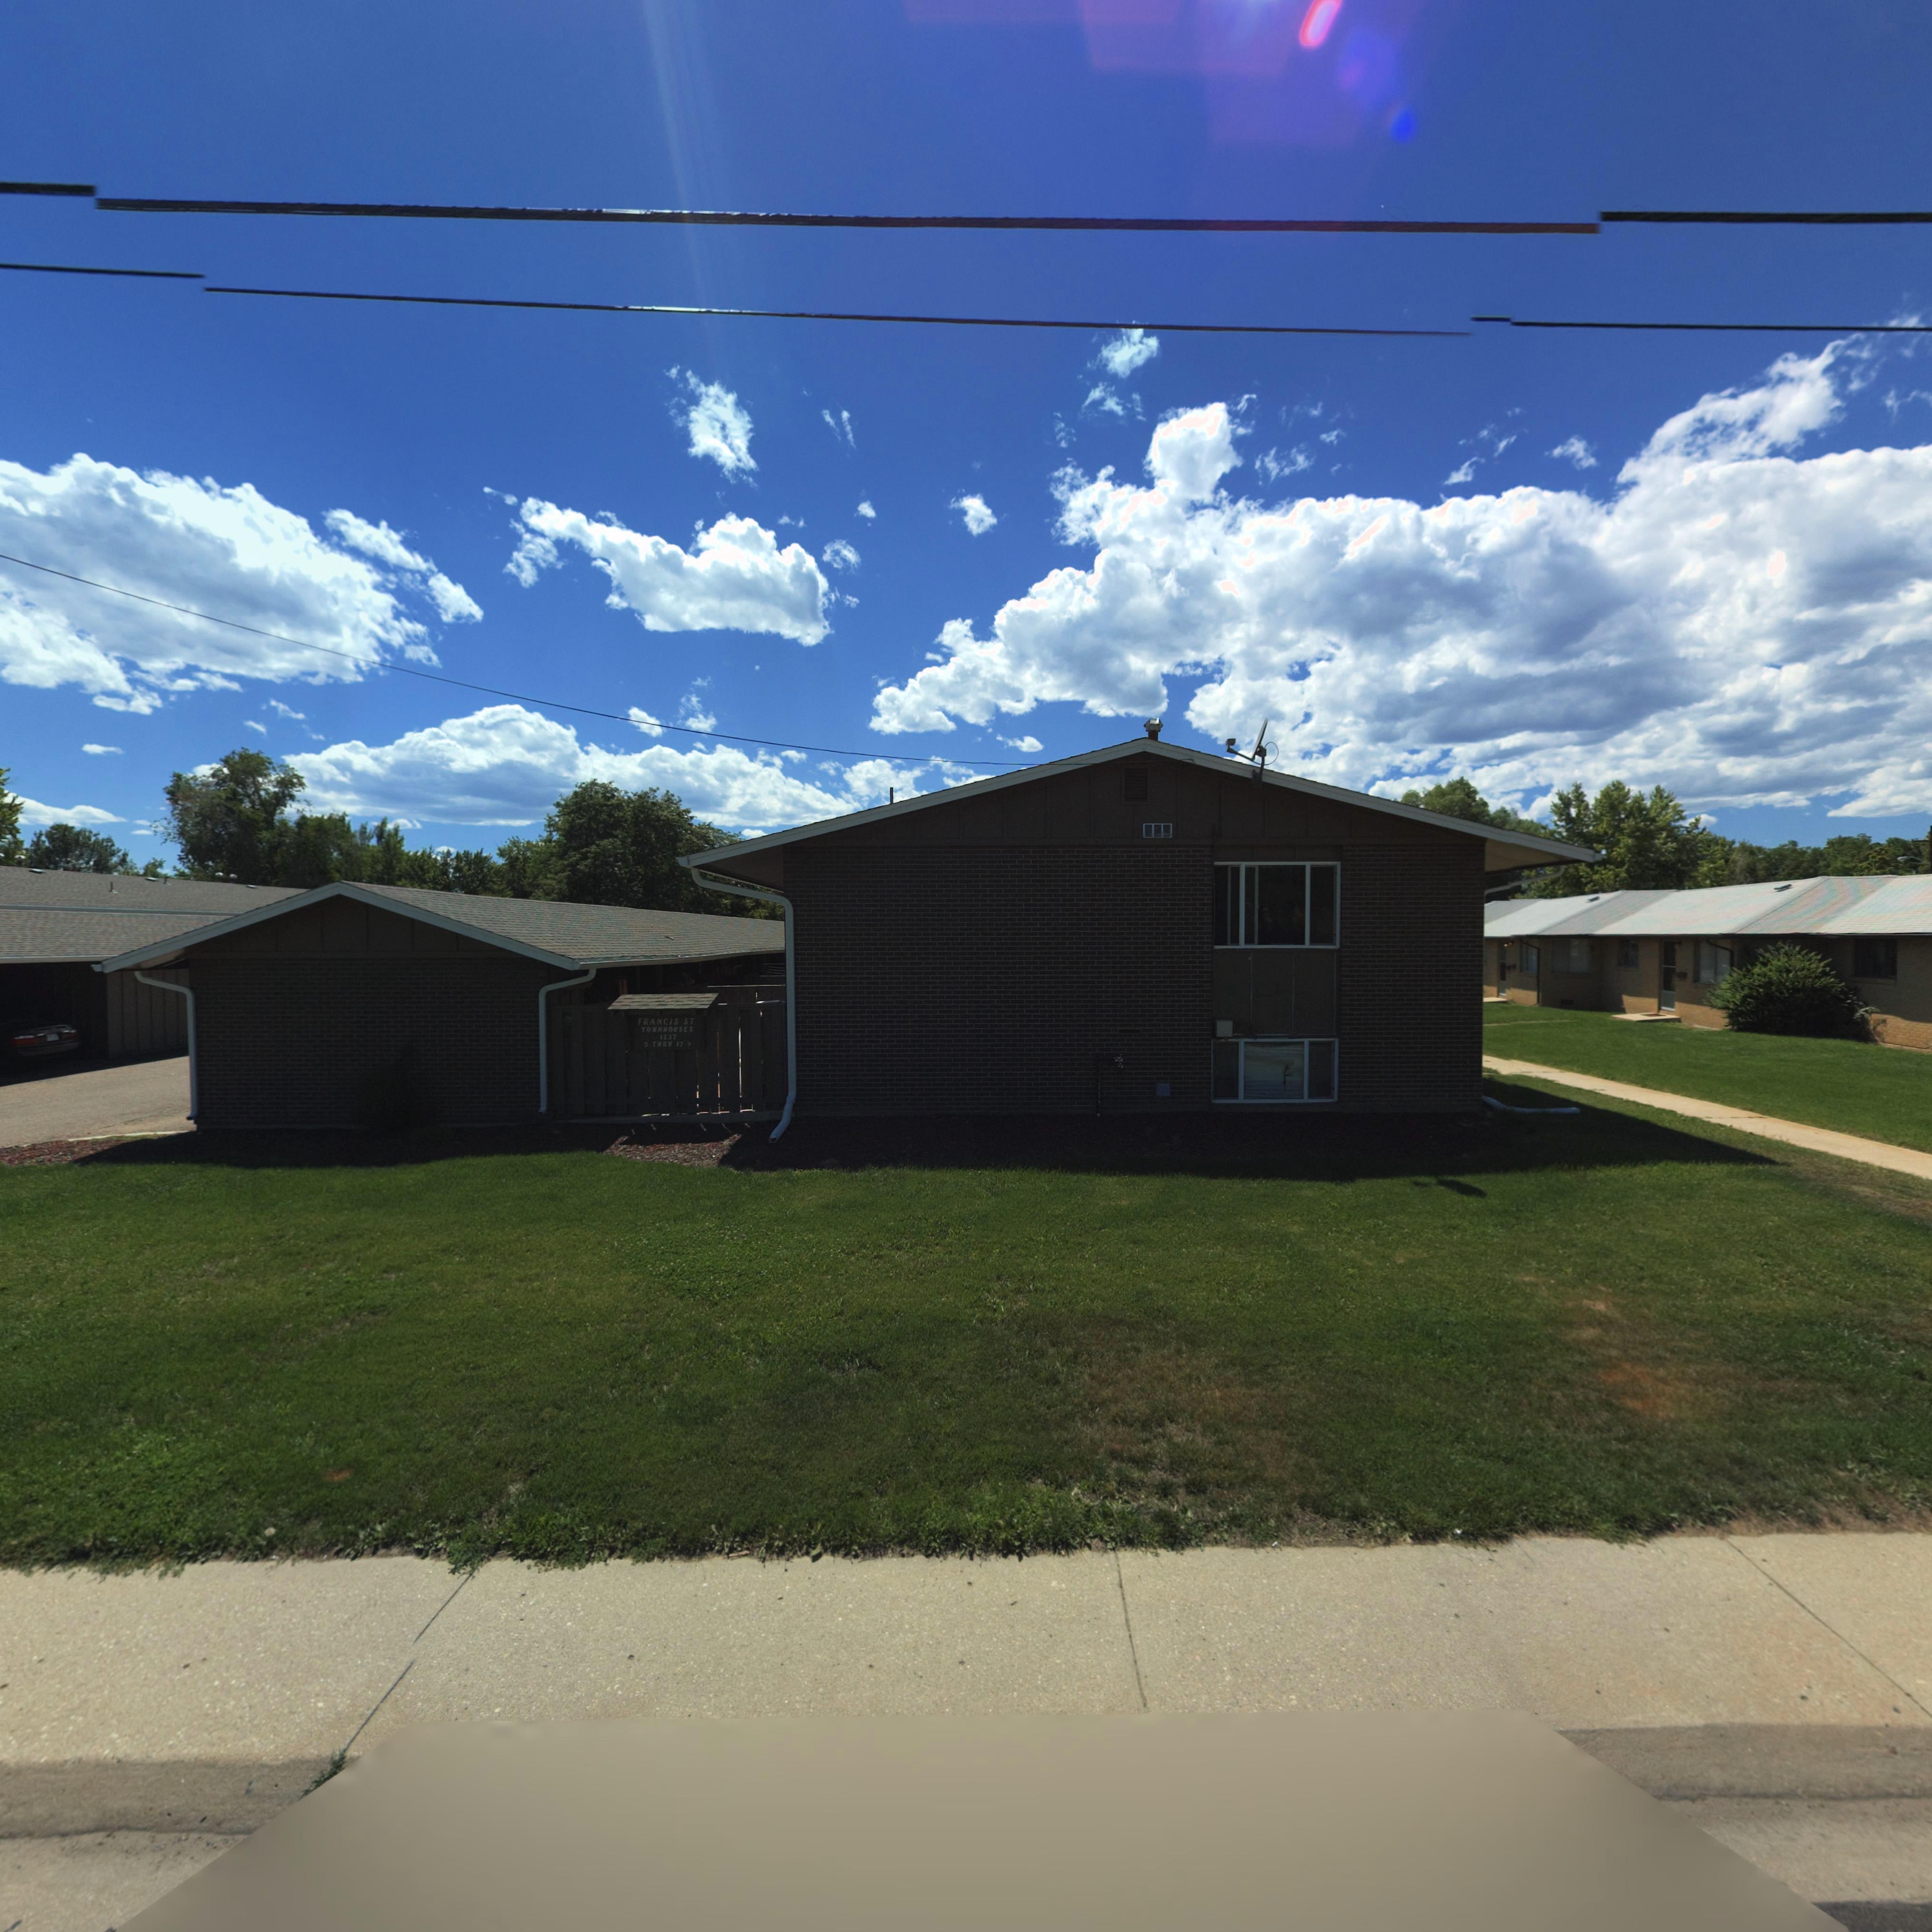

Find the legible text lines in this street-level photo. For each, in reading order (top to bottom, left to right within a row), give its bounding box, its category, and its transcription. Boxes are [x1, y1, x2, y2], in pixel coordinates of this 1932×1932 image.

[637, 1017, 696, 1025] BusinessName: FRANCIS ST
[641, 1025, 694, 1033] BusinessName: TOWNHOUSES
[659, 1033, 677, 1040] StreetNumber: 1237